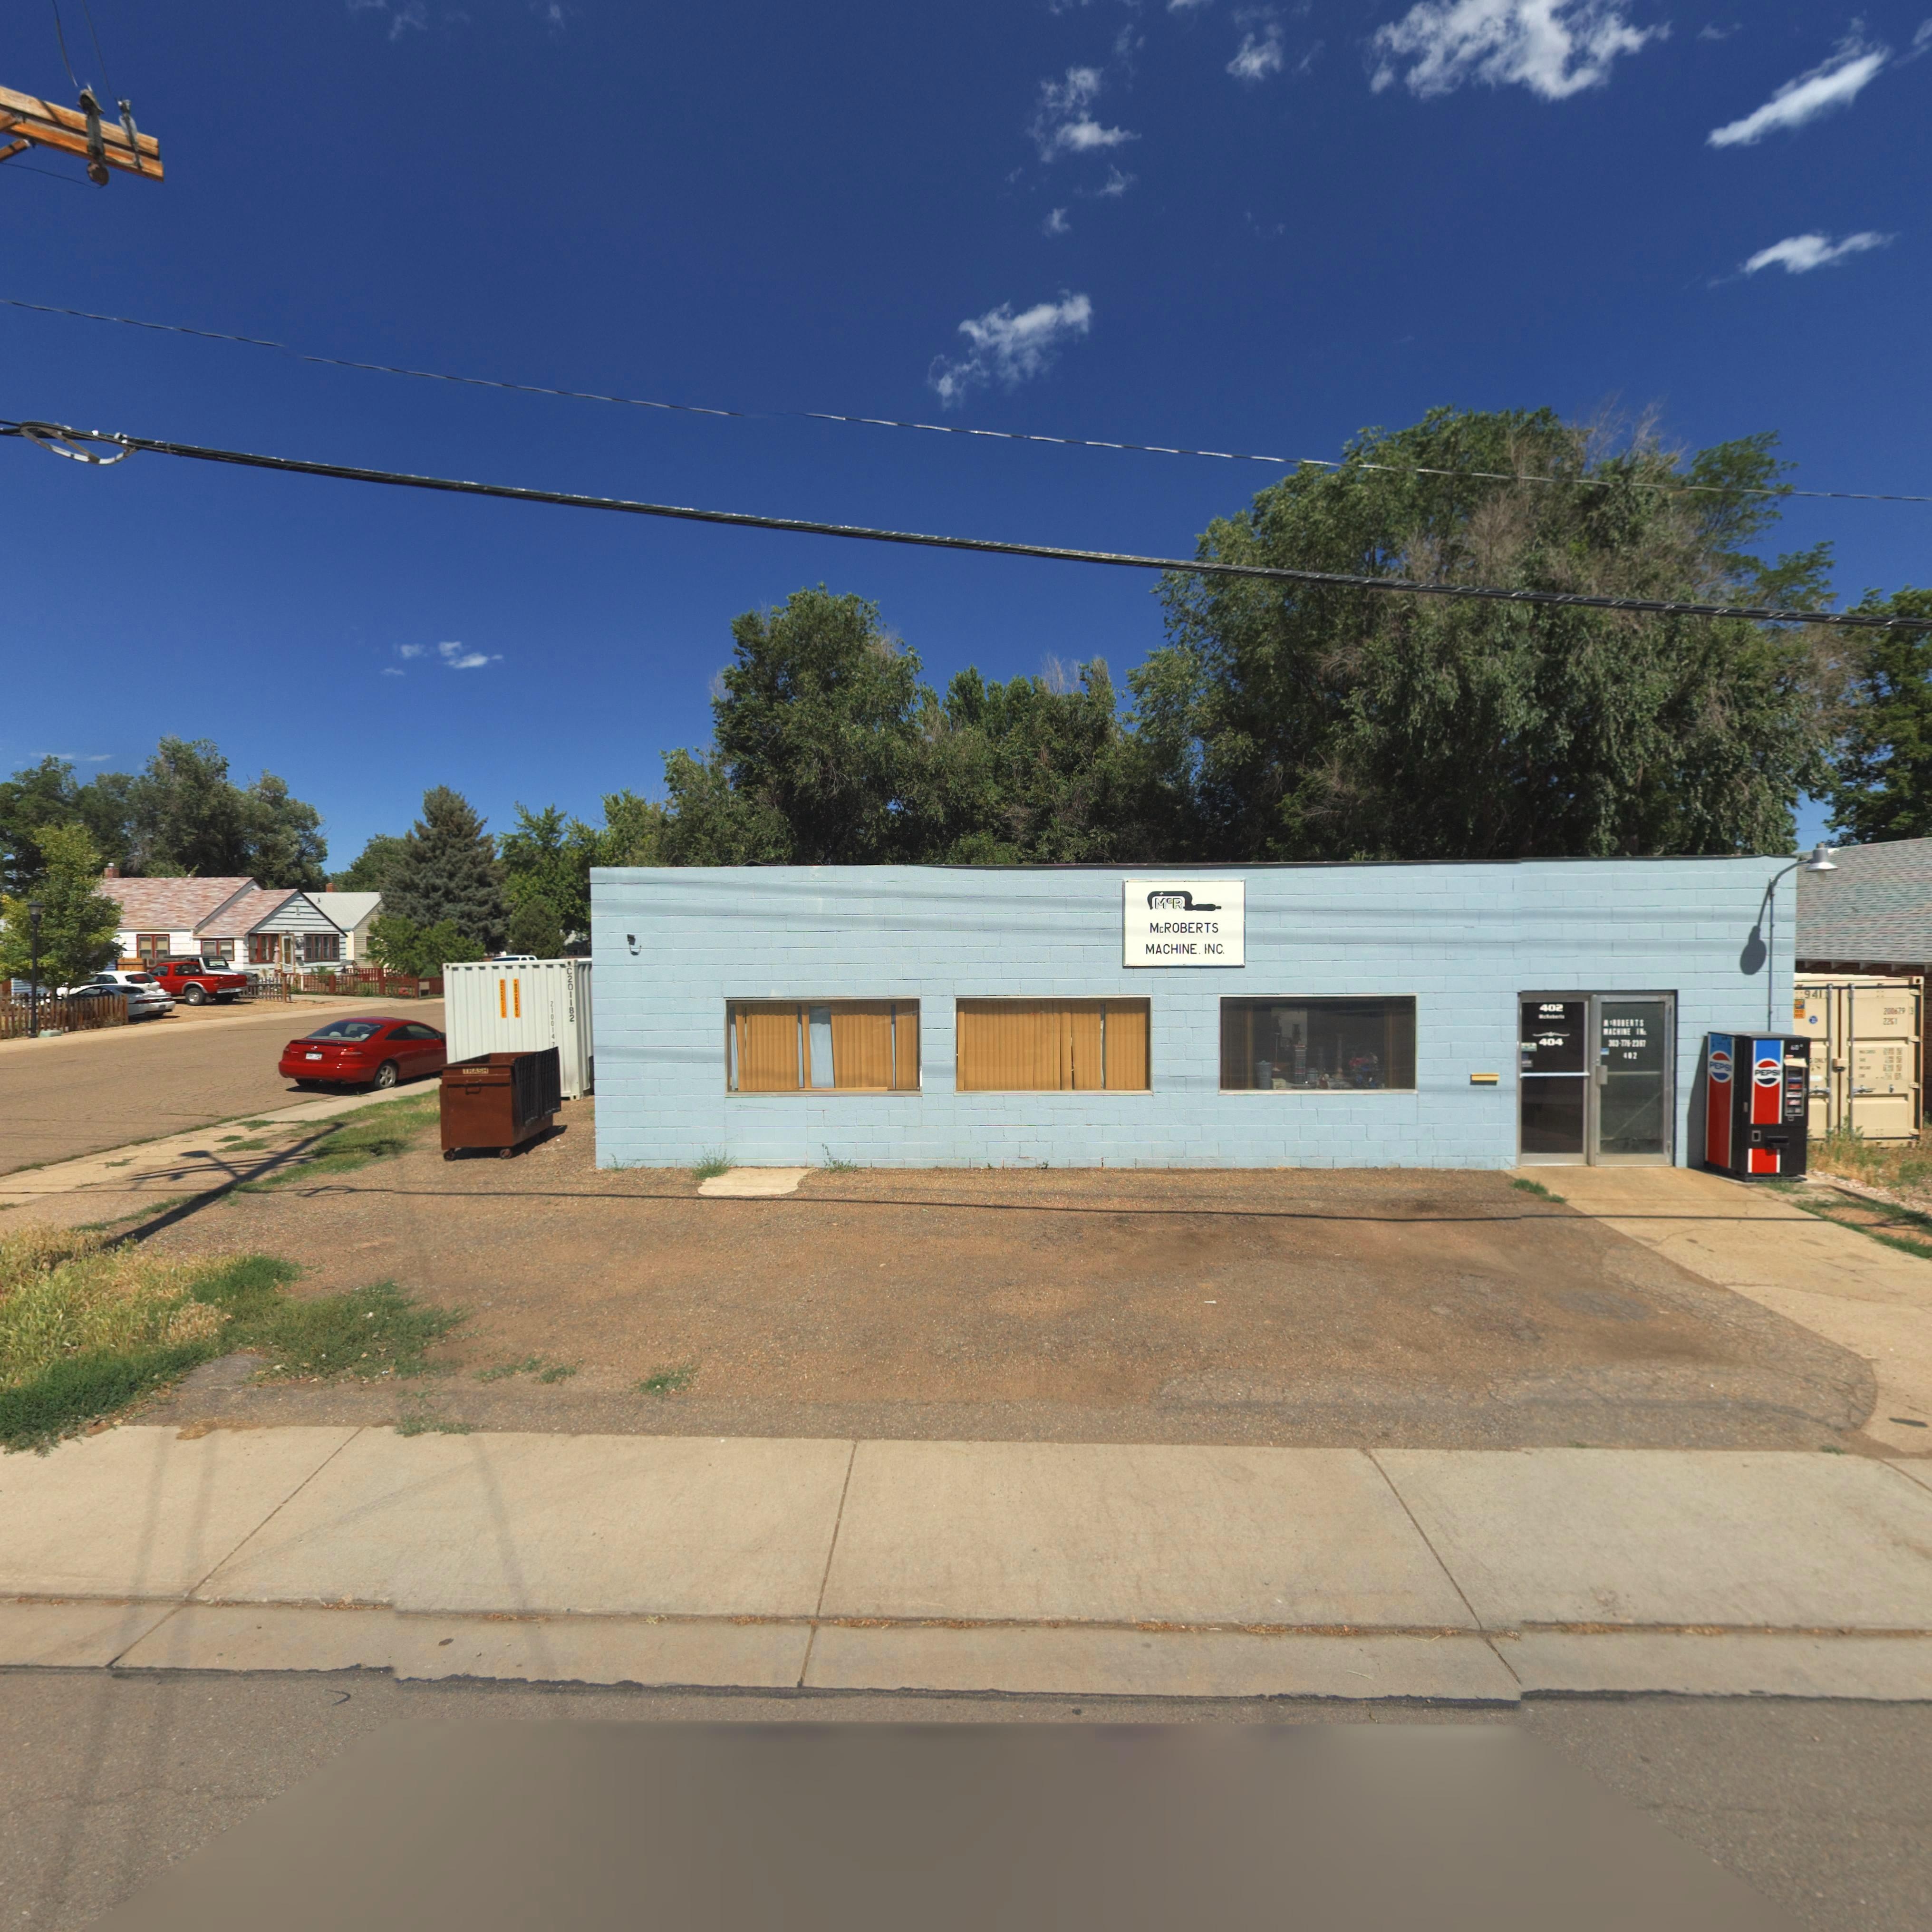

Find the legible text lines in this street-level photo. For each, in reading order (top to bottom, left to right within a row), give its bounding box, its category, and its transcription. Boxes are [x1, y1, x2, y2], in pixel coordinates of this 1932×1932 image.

[1154, 897, 1182, 909] BusinessName: McR
[1150, 921, 1219, 934] BusinessName: McROBERTS
[1145, 943, 1224, 955] BusinessName: MACHINE INC
[1538, 1004, 1564, 1012] StreetNumber: 402
[1602, 1019, 1644, 1026] BusinessName: McROBERTS
[1603, 1027, 1647, 1035] BusinessName: MACHINE INc
[1538, 1037, 1564, 1046] StreetNumber: 404
[1622, 1052, 1638, 1059] StreetNumber: 402